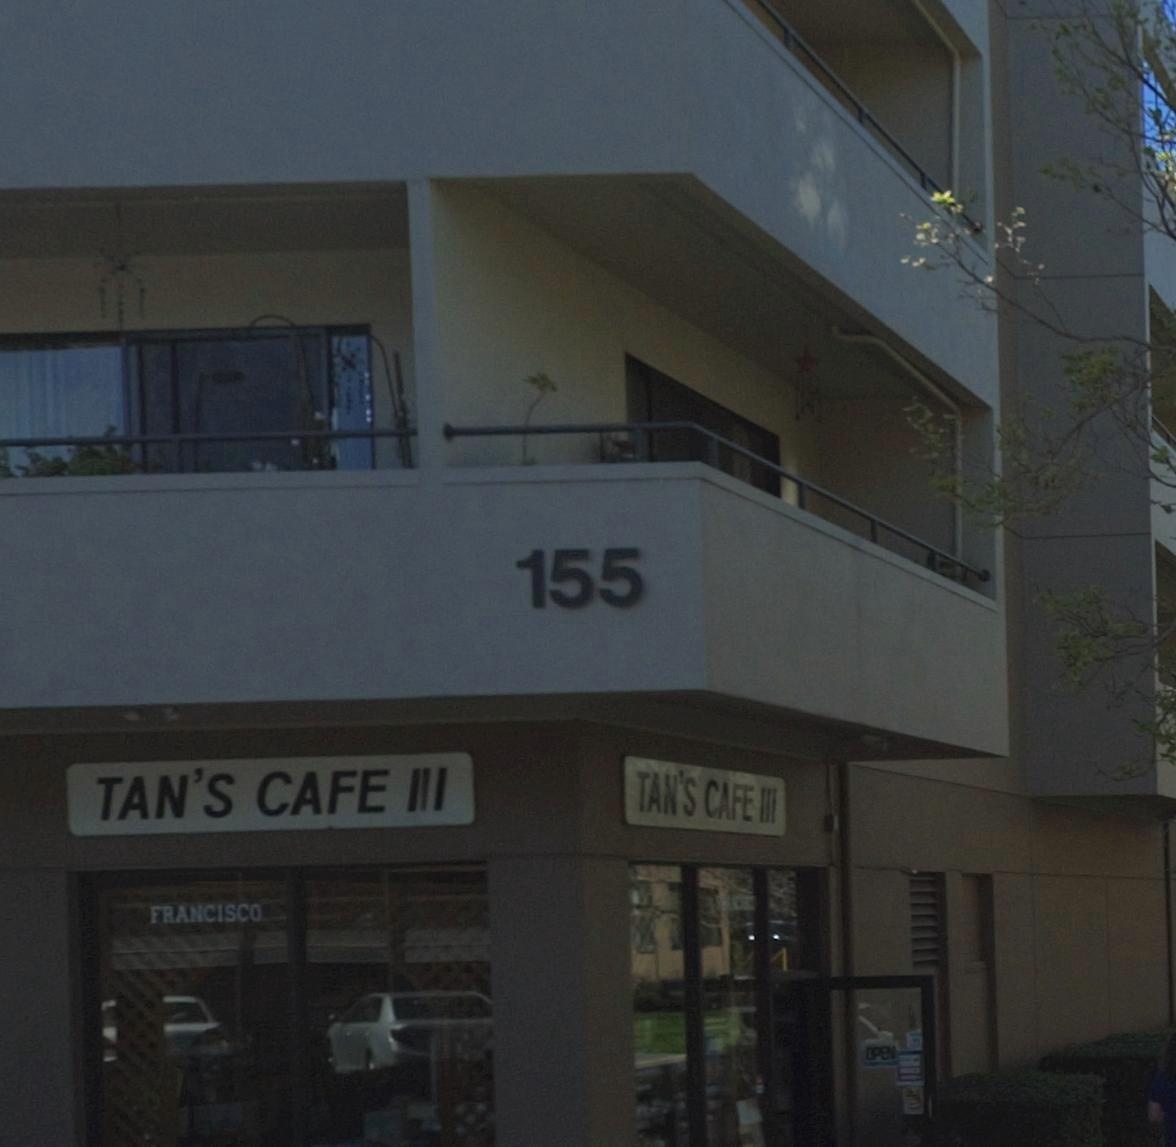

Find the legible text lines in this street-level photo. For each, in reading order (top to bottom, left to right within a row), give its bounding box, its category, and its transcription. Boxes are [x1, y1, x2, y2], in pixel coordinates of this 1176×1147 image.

[514, 545, 645, 612] StreetNumber: 155
[93, 761, 453, 825] BusinessName: TAN'S CAFE III
[634, 767, 780, 827] BusinessName: TAN'S CAFE III
[149, 900, 263, 926] None: FRANCISCO